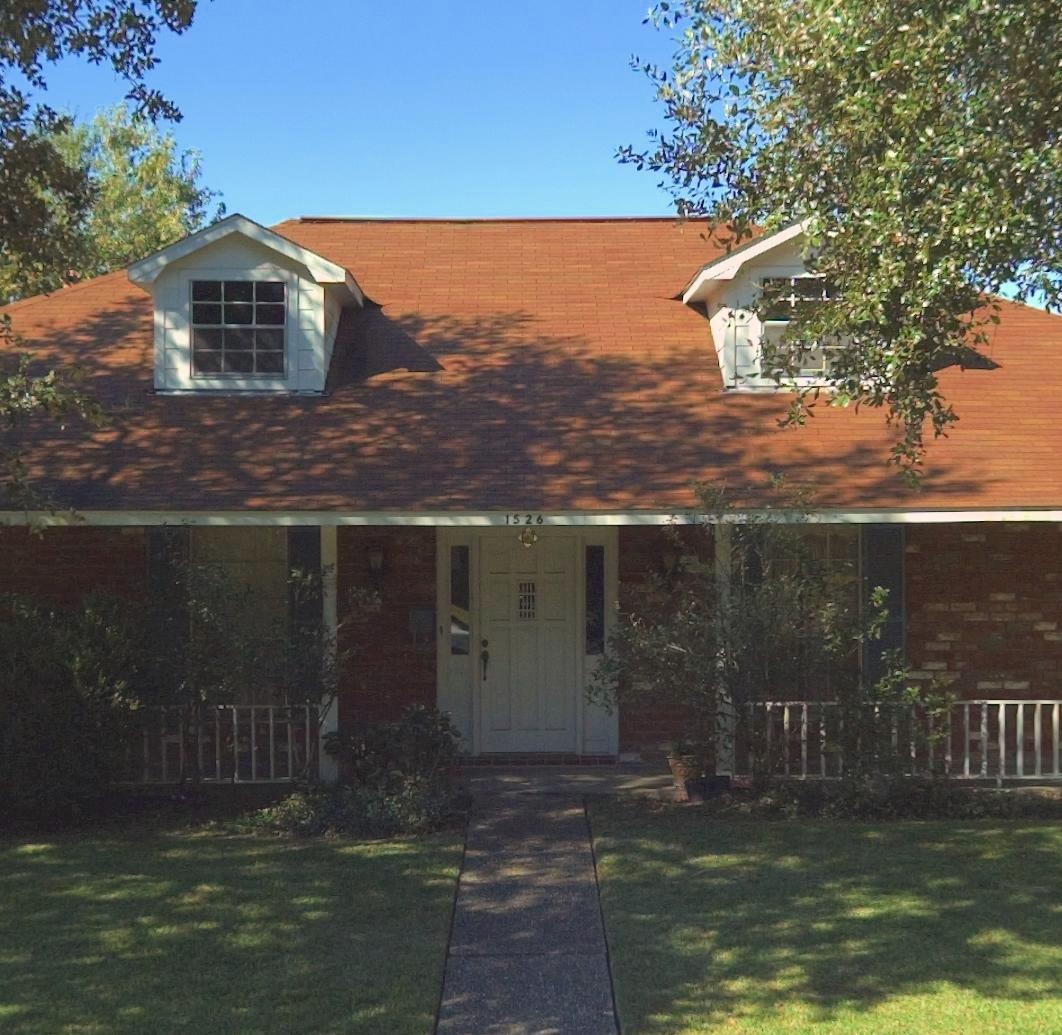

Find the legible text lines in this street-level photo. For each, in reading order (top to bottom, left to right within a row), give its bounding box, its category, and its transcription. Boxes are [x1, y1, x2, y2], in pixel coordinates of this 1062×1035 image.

[502, 512, 545, 527] StreetNumber: 1526